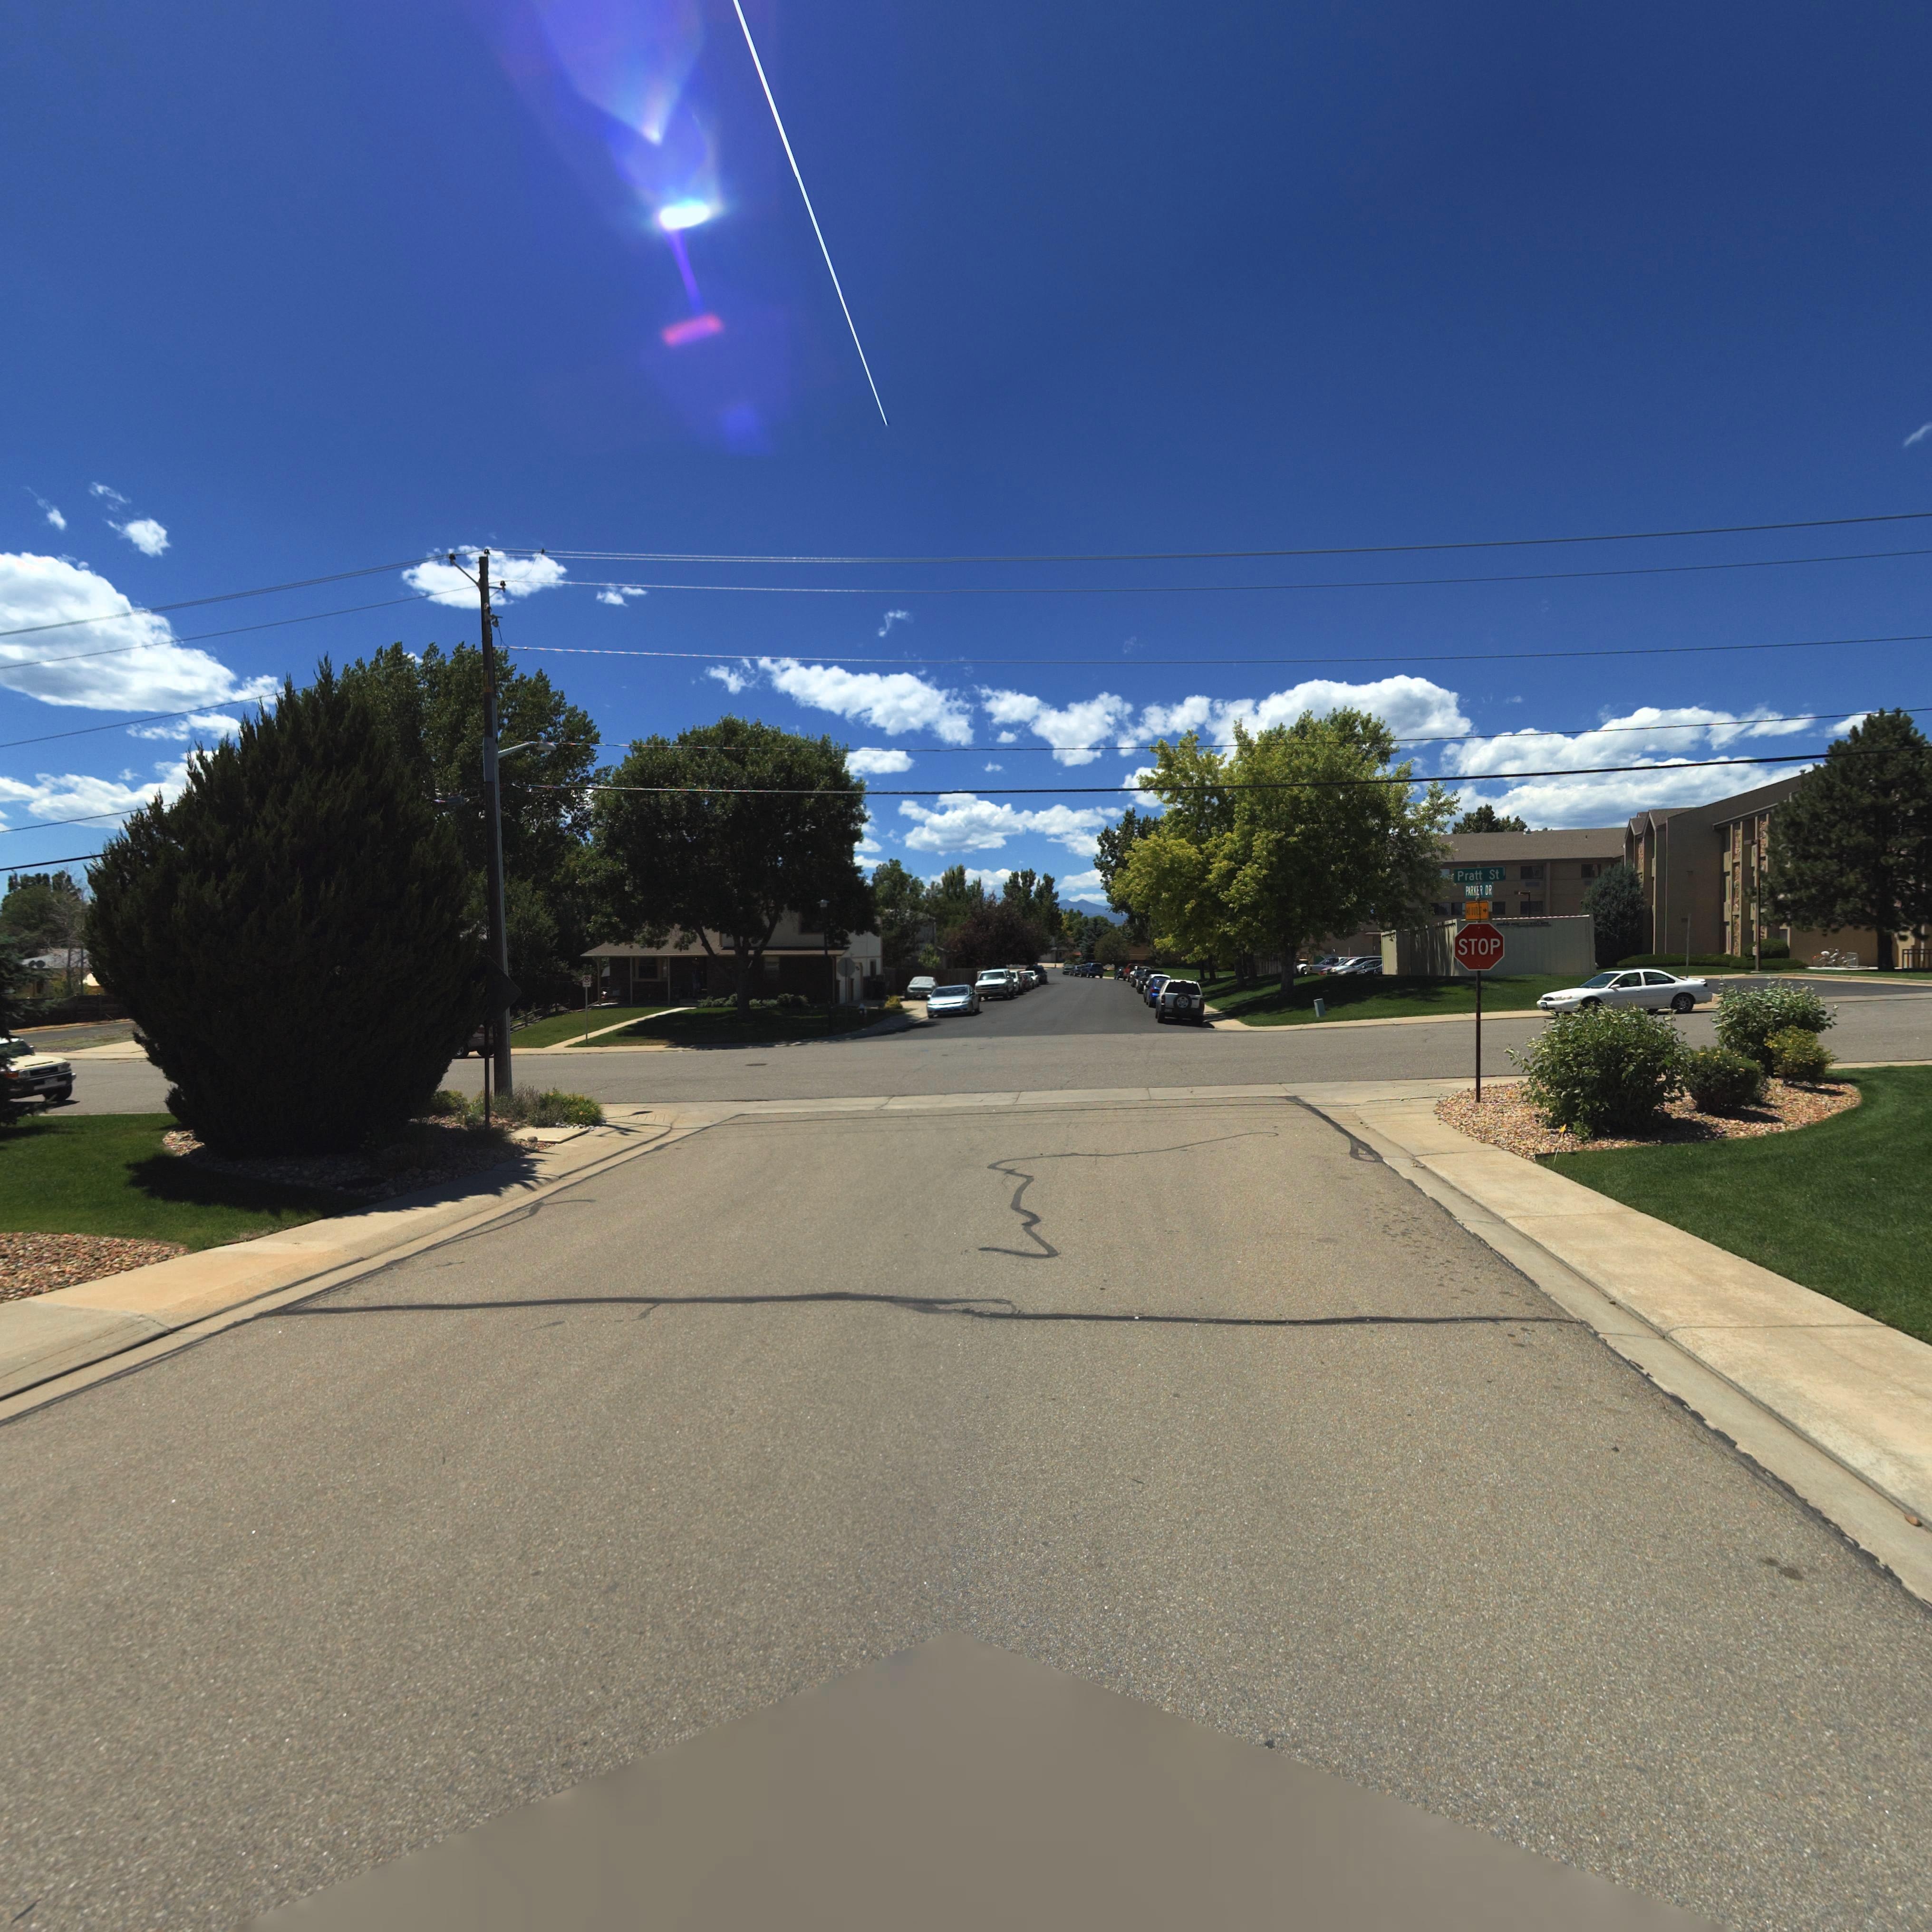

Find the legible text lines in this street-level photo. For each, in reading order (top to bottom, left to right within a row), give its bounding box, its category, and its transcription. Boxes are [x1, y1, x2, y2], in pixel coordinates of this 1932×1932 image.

[1457, 869, 1499, 881] StreetName: Pratt St
[1465, 884, 1492, 896] StreetName: PARKER DR